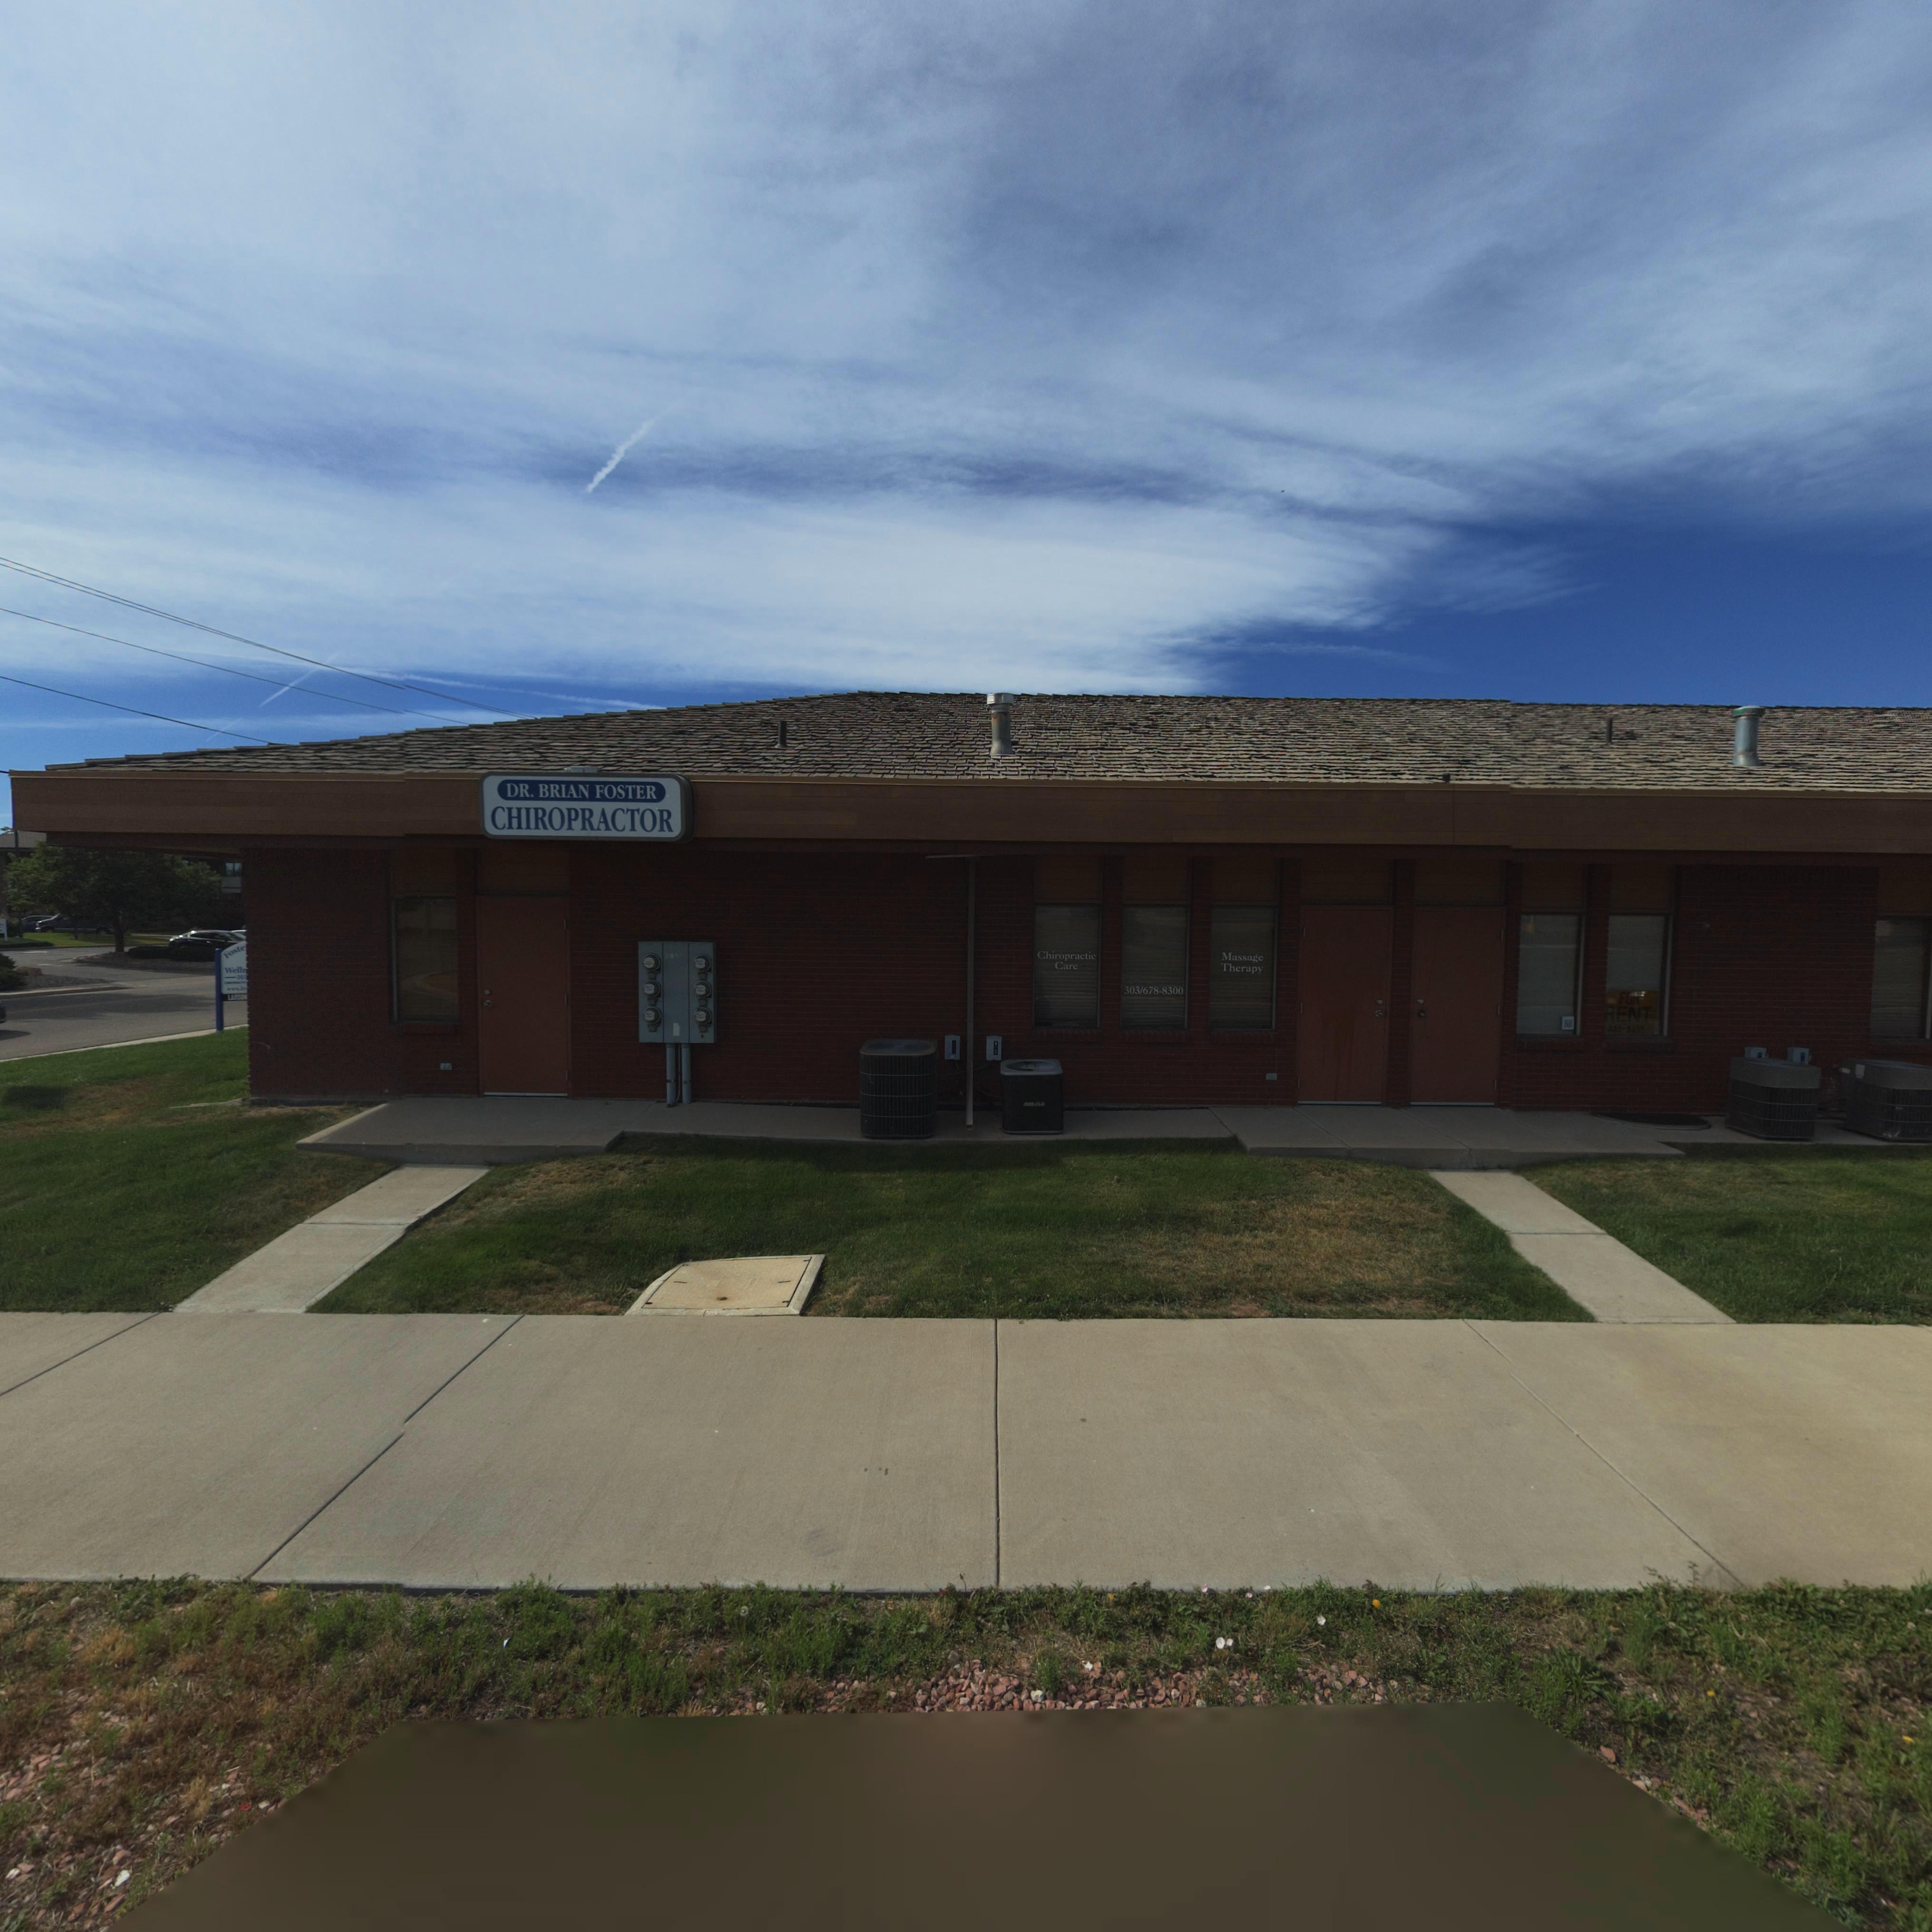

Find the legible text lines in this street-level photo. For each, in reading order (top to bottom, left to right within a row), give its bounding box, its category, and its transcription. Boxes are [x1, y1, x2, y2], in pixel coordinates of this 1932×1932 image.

[505, 782, 657, 800] BusinessName: DR. BRIAN FOSTER
[222, 945, 245, 959] BusinessName: Foste
[224, 966, 247, 973] BusinessName: Welln
[227, 994, 247, 1001] BusinessName: LARSON